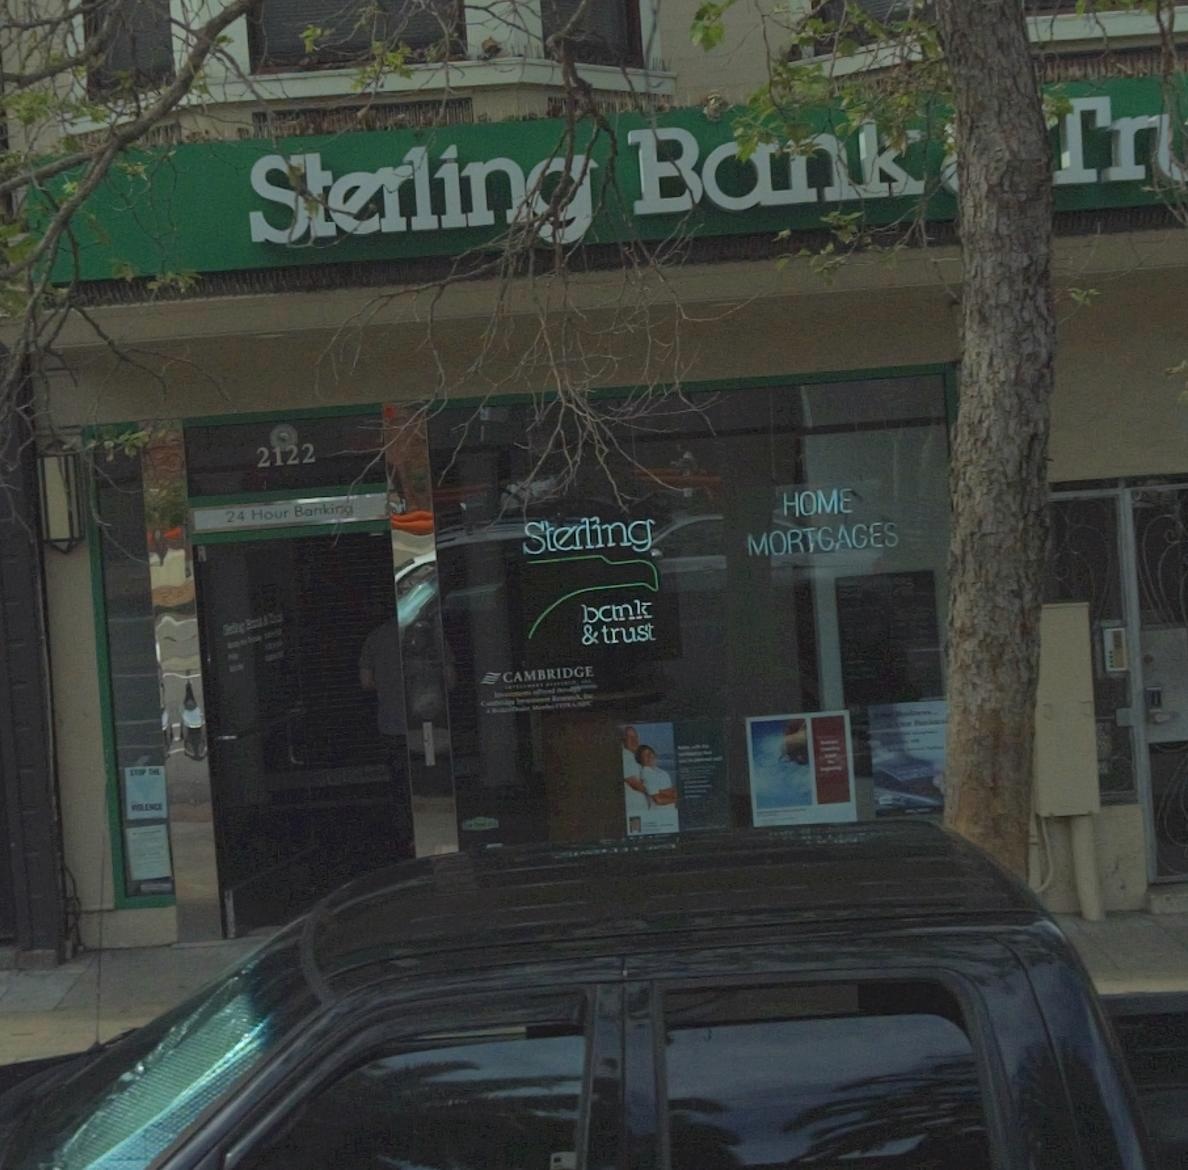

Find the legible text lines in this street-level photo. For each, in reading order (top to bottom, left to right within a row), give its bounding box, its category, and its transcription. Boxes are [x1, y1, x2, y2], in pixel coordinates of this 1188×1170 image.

[239, 89, 1164, 252] BusinessName: S*erlin* Ba******r
[254, 440, 319, 471] StreetNumber: 2122
[221, 500, 357, 525] None: 24 Hour Banki*g
[779, 483, 857, 522] None: HOME
[517, 511, 662, 558] BusinessName: Sterling
[744, 519, 904, 561] None: MORTGAGES
[576, 595, 656, 627] BusinessName: bank
[578, 619, 662, 650] BusinessName: & trust
[501, 663, 598, 686] None: CAMBRIDGE